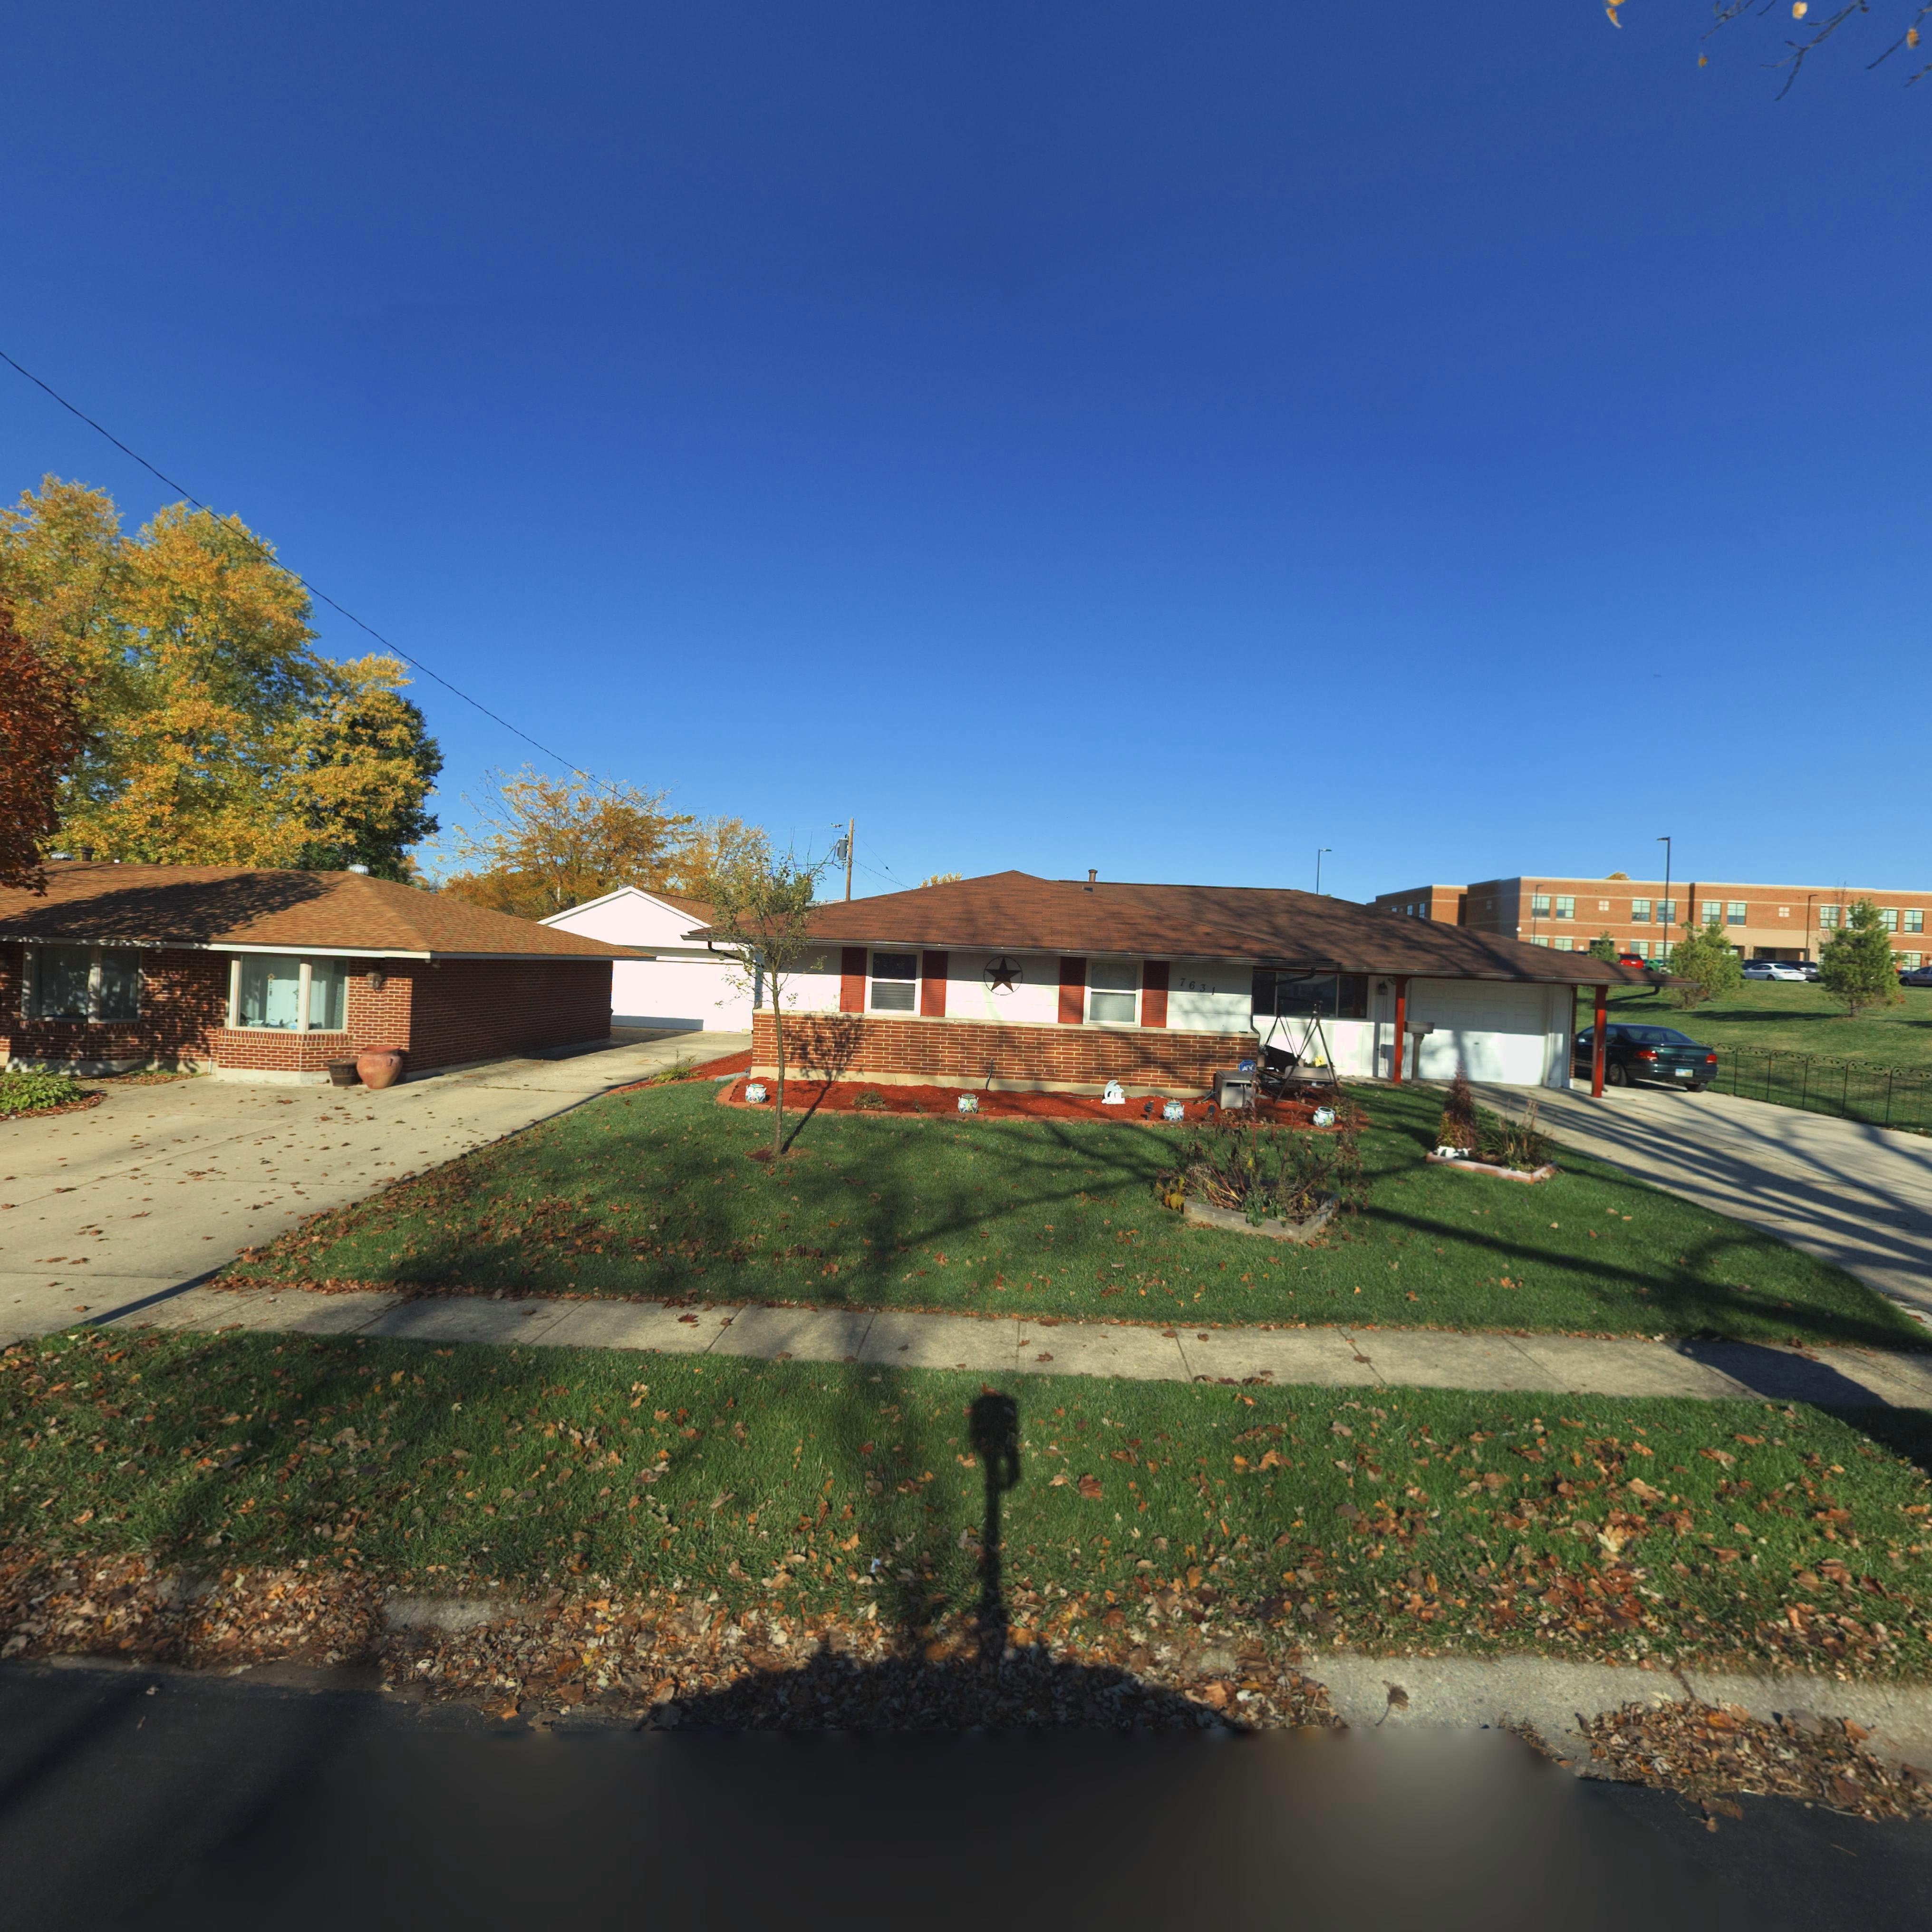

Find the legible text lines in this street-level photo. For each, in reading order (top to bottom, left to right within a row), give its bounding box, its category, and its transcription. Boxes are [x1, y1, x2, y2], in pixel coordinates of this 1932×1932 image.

[1179, 977, 1217, 997] StreetNumber: 7631